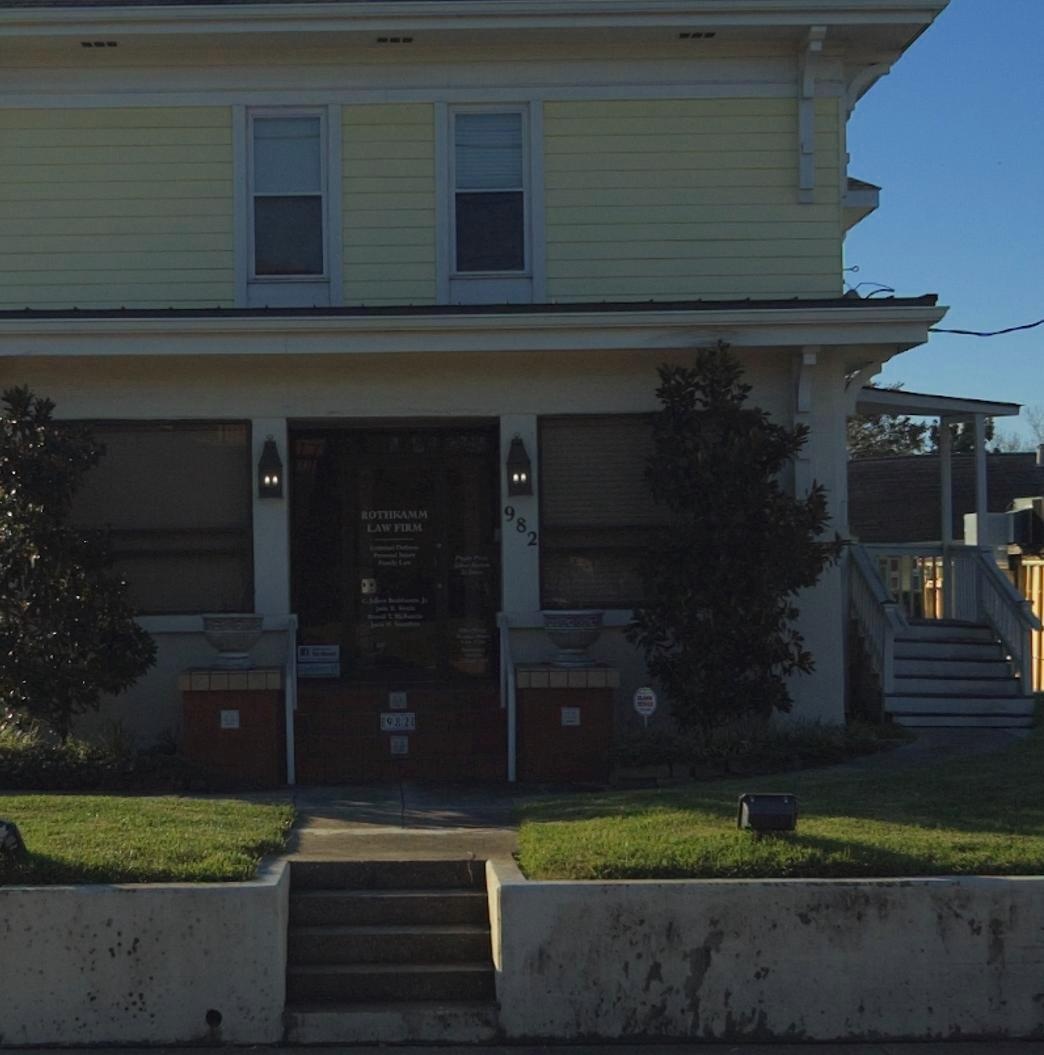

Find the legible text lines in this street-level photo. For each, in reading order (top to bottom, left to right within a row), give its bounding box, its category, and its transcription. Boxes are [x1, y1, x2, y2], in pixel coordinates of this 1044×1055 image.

[359, 508, 428, 521] BusinessName: ROTHKAMM
[365, 522, 423, 533] BusinessName: LAW FIRM
[496, 496, 542, 559] StreetNumber: 982
[385, 716, 416, 728] StreetNumber: 9821